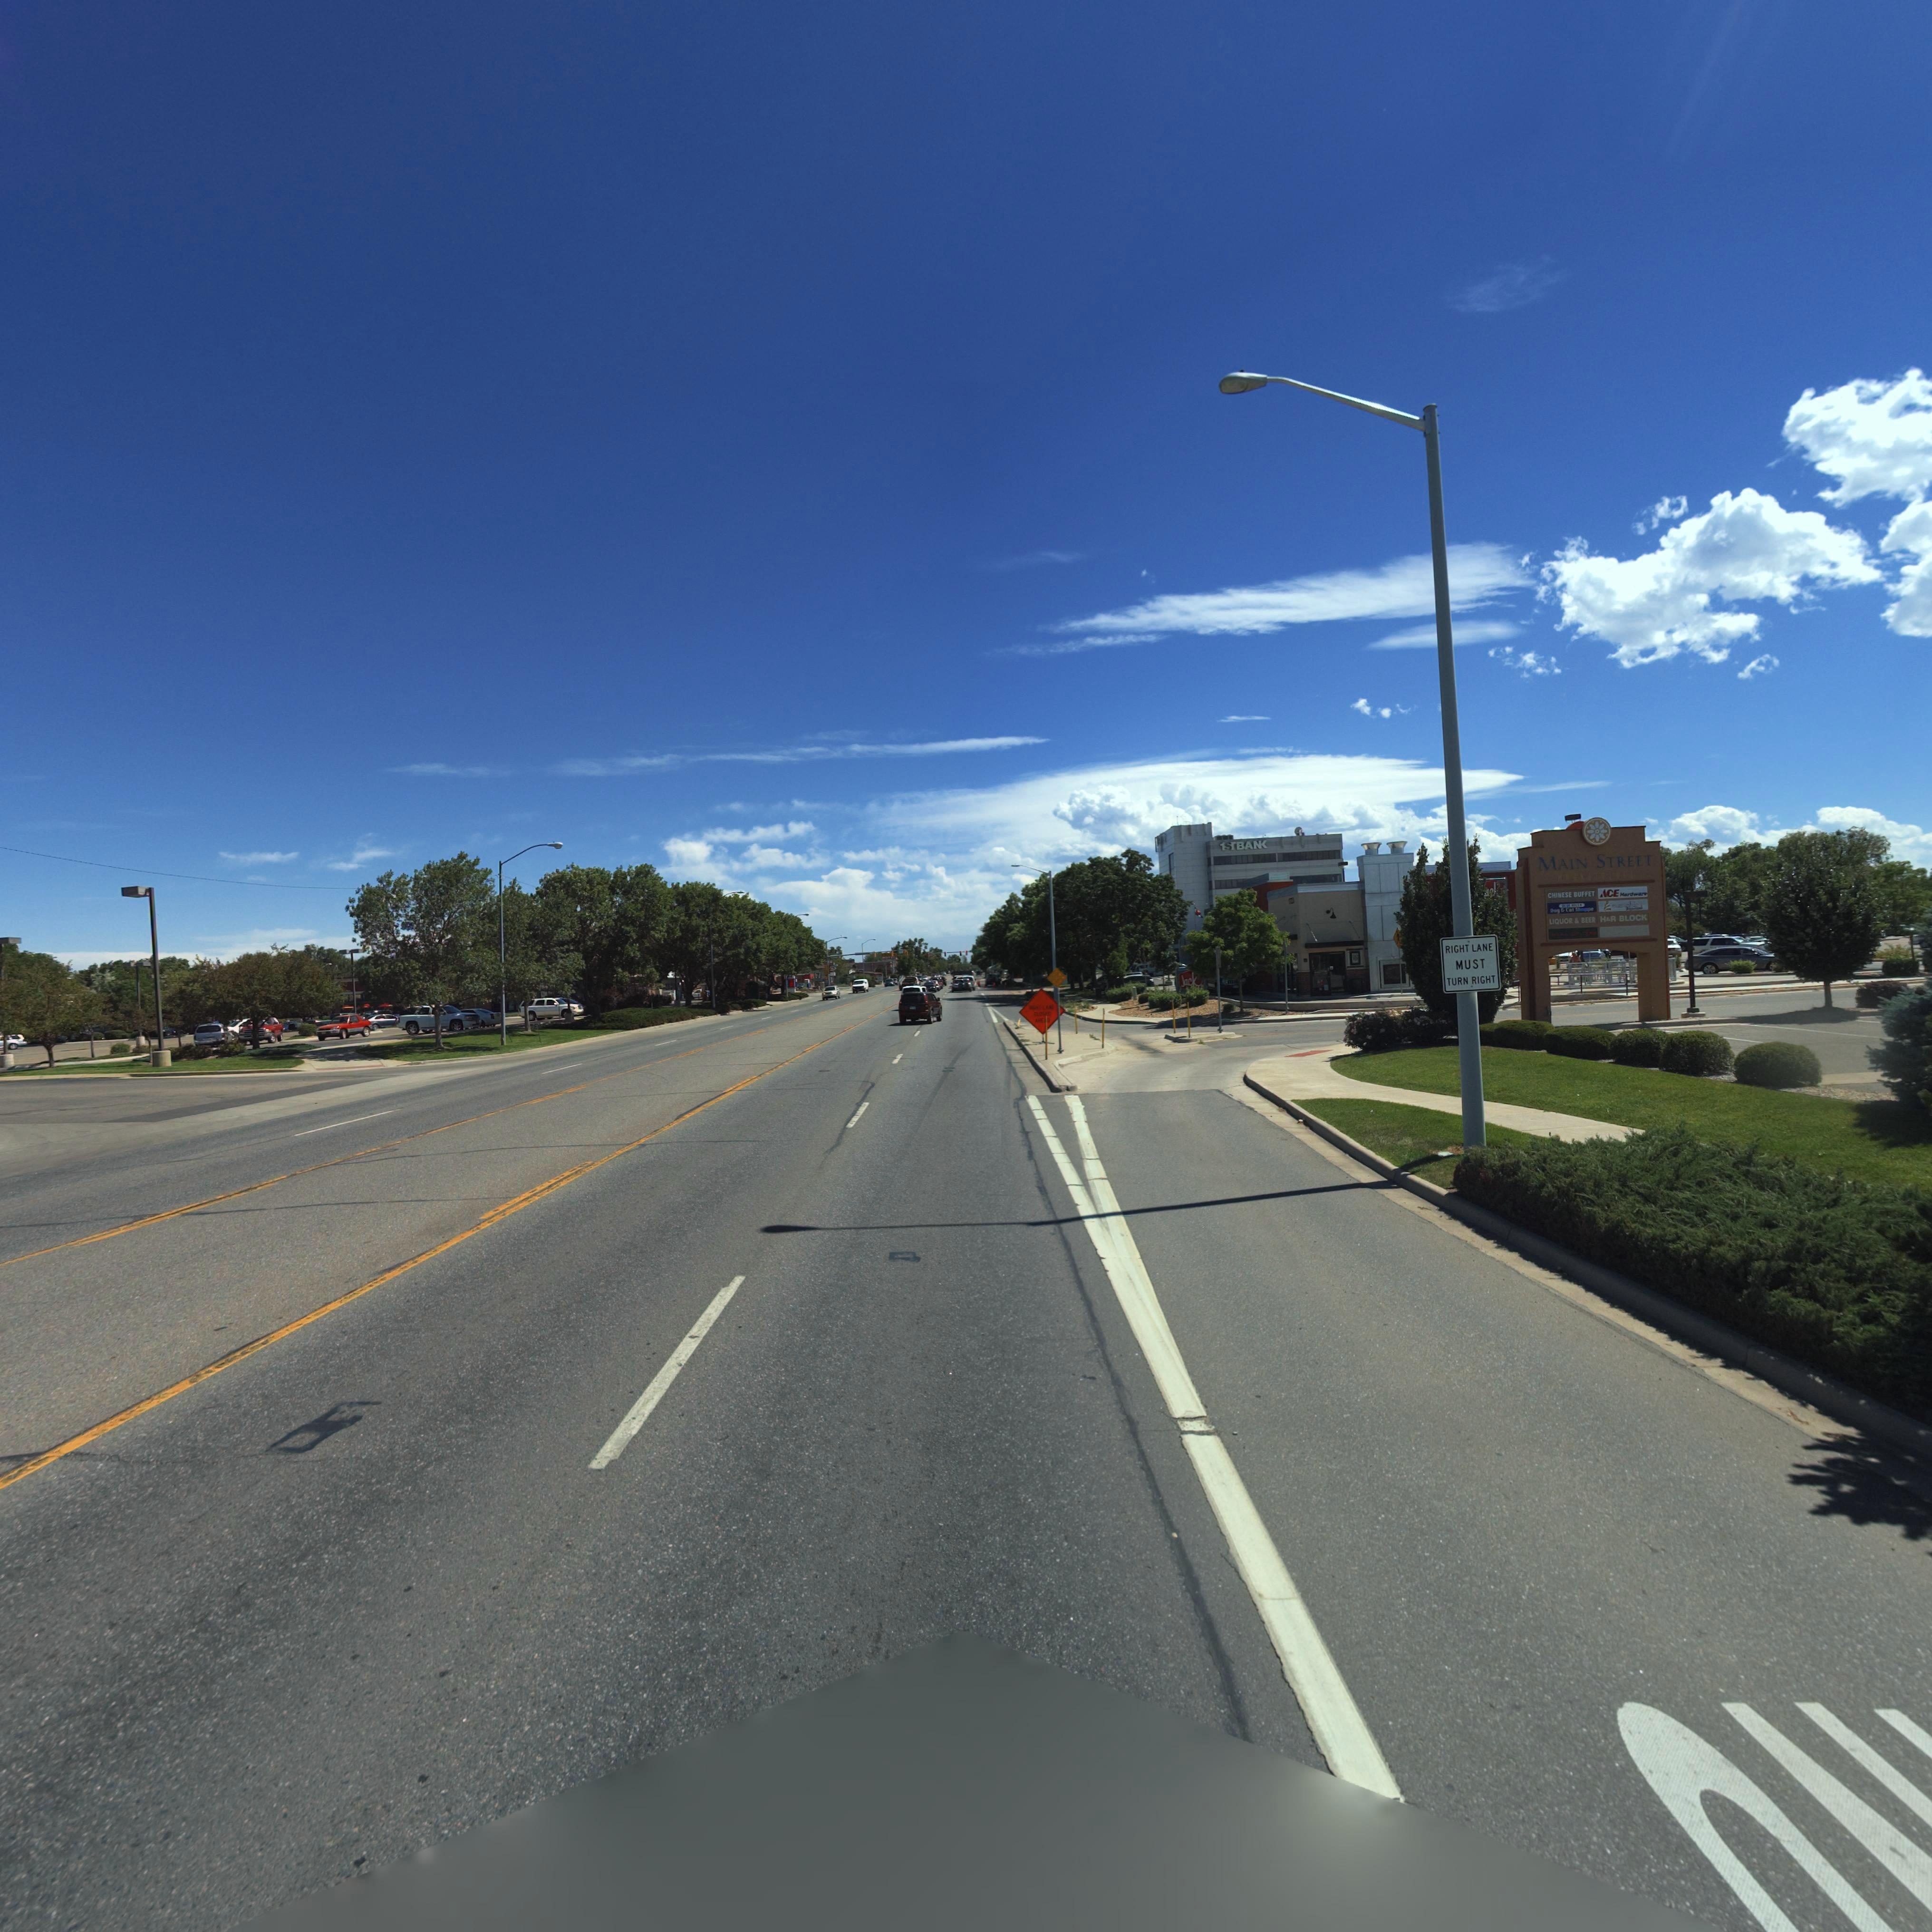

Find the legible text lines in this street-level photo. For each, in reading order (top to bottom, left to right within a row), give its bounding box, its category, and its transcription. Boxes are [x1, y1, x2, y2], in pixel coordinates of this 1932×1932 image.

[1219, 840, 1267, 850] BusinessName: 1STBAN*
[1538, 853, 1654, 871] BusinessName: MAIN STREET
[1557, 870, 1636, 882] BusinessName: MA***T *L***
[1489, 881, 1503, 898] BusinessName: *k
[1599, 889, 1619, 898] BusinessName: *CE
[1620, 891, 1647, 897] BusinessName: Hard***e
[1287, 897, 1295, 905] StreetNumber: 1**3
[1612, 900, 1642, 908] BusinessName: m********
[1550, 907, 1594, 914] BusinessName: Dog * Cat S****e
[1600, 914, 1647, 923] BusinessName: H&R BLOCK
[1180, 971, 1202, 987] BusinessName: Jack